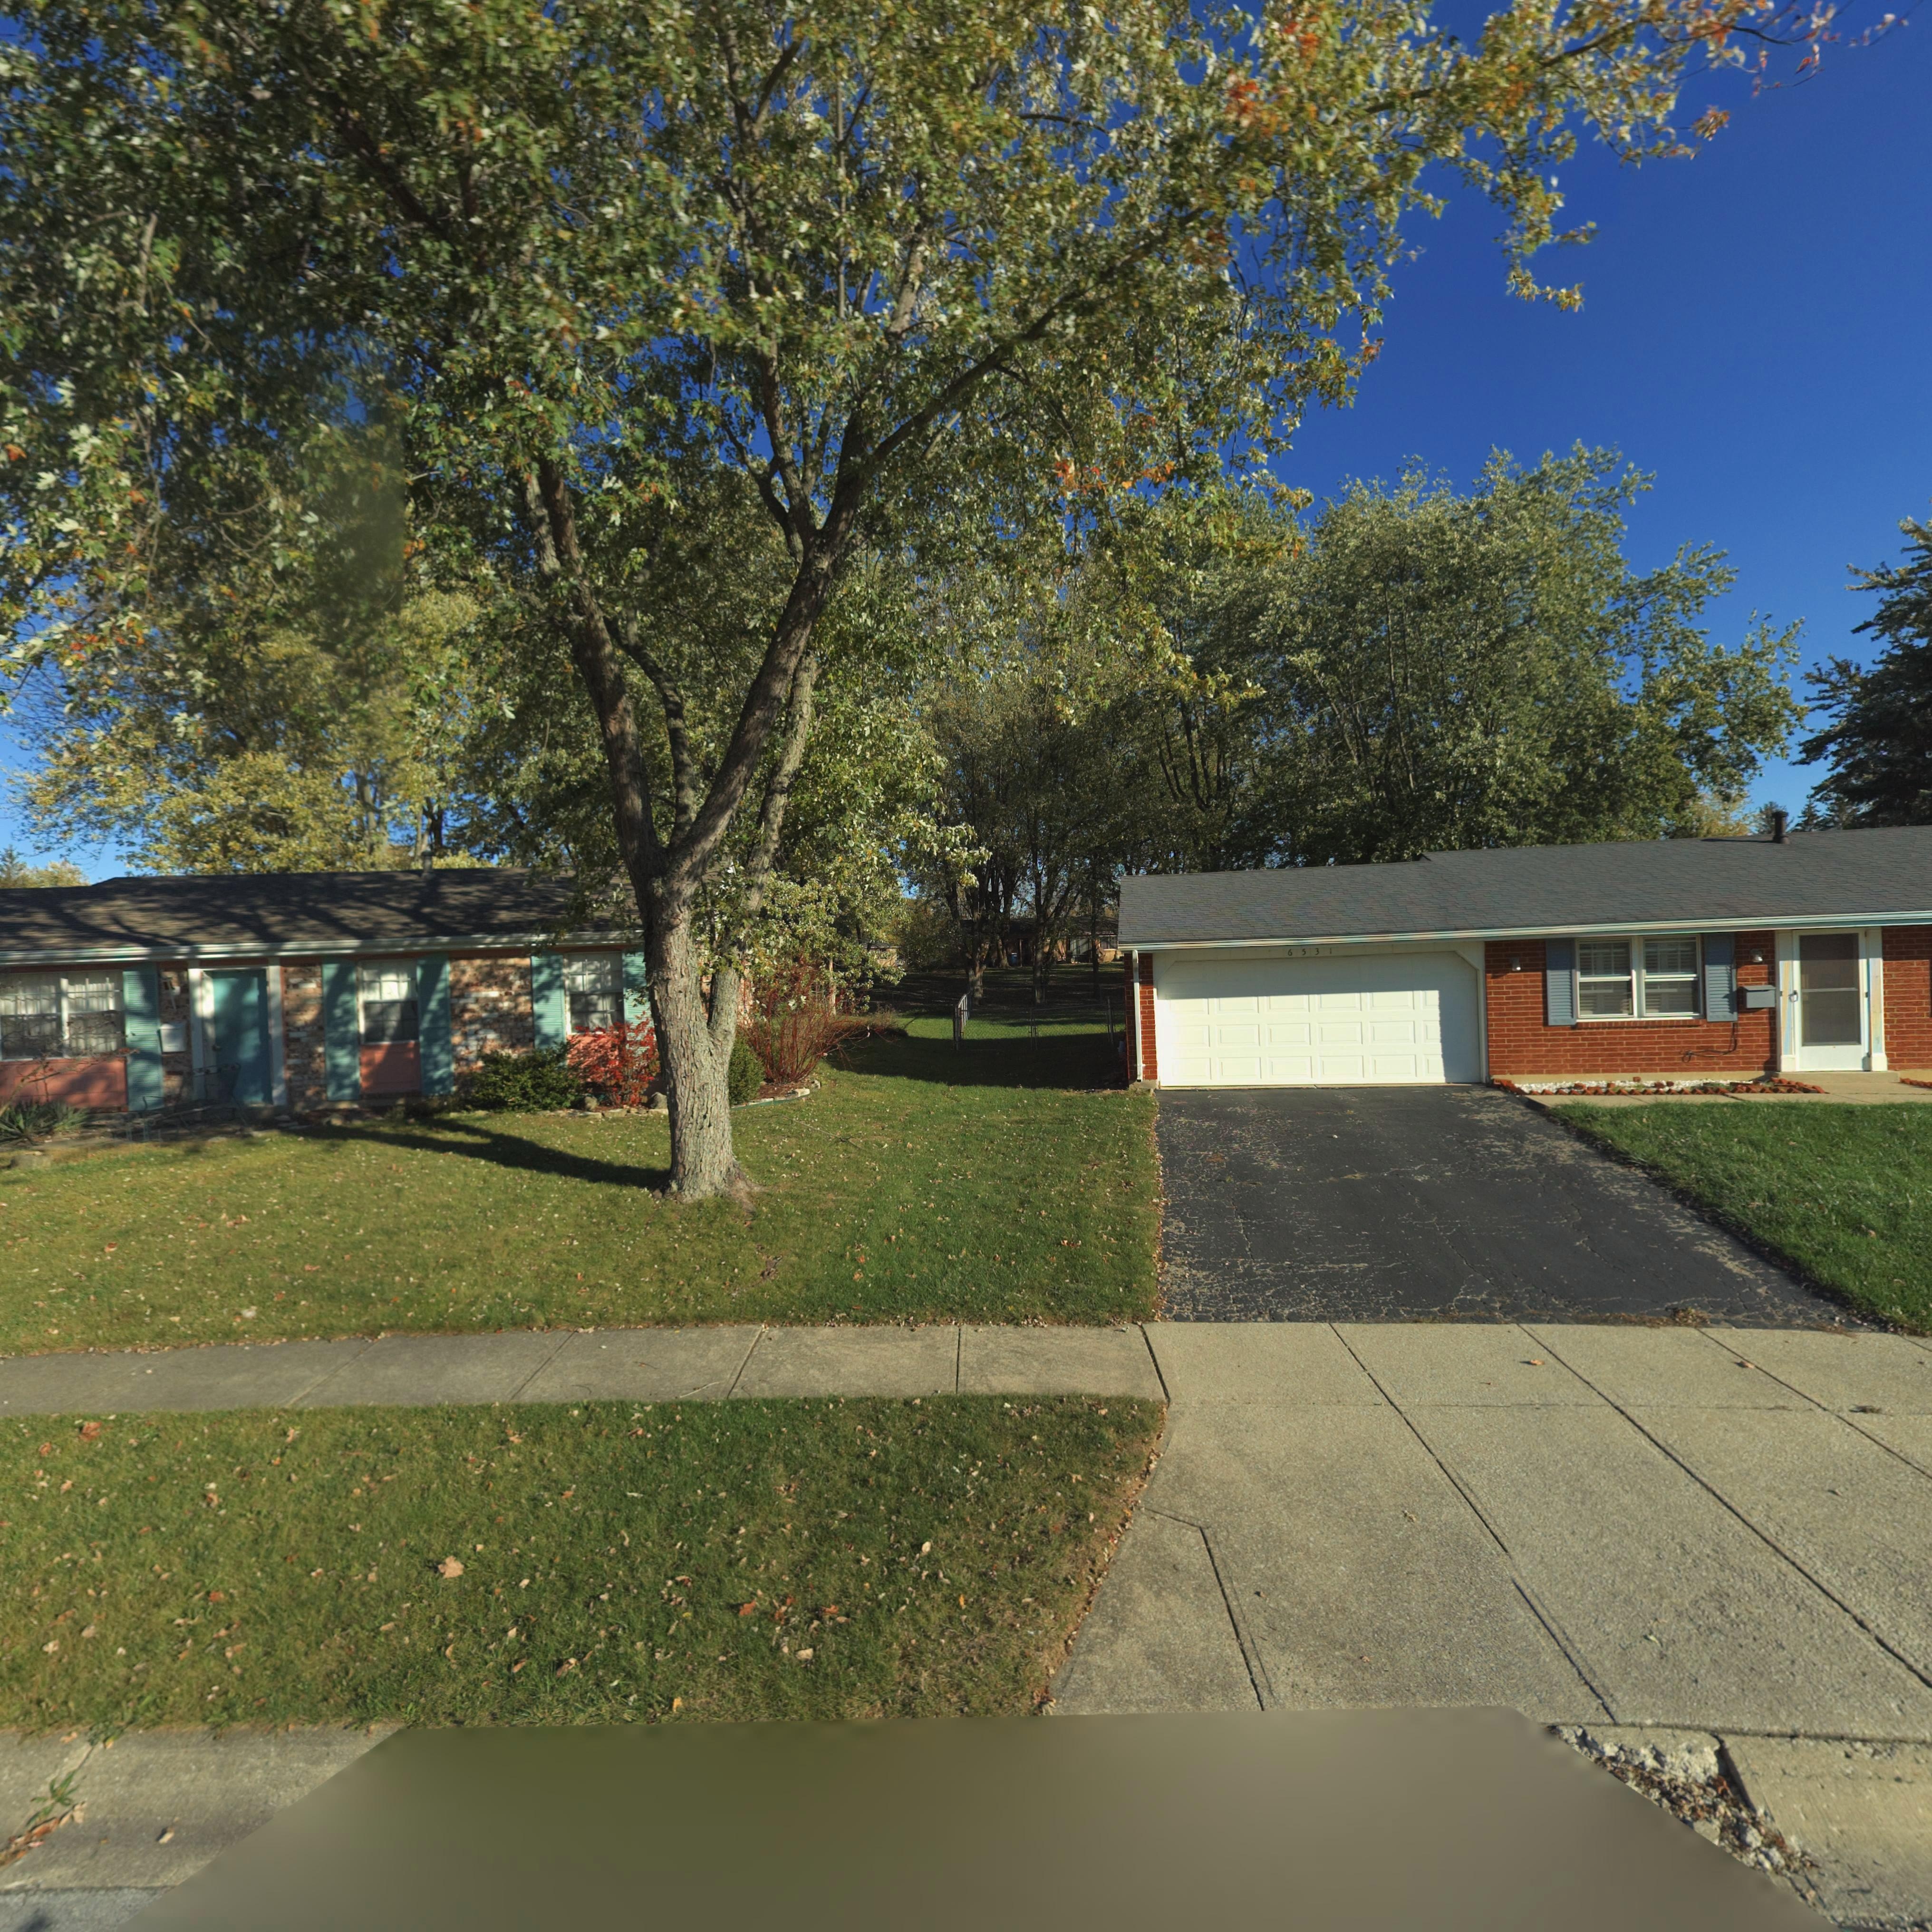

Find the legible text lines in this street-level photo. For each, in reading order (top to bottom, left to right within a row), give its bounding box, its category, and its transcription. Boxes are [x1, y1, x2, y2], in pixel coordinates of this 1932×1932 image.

[1287, 947, 1333, 956] StreetNumber: 6531